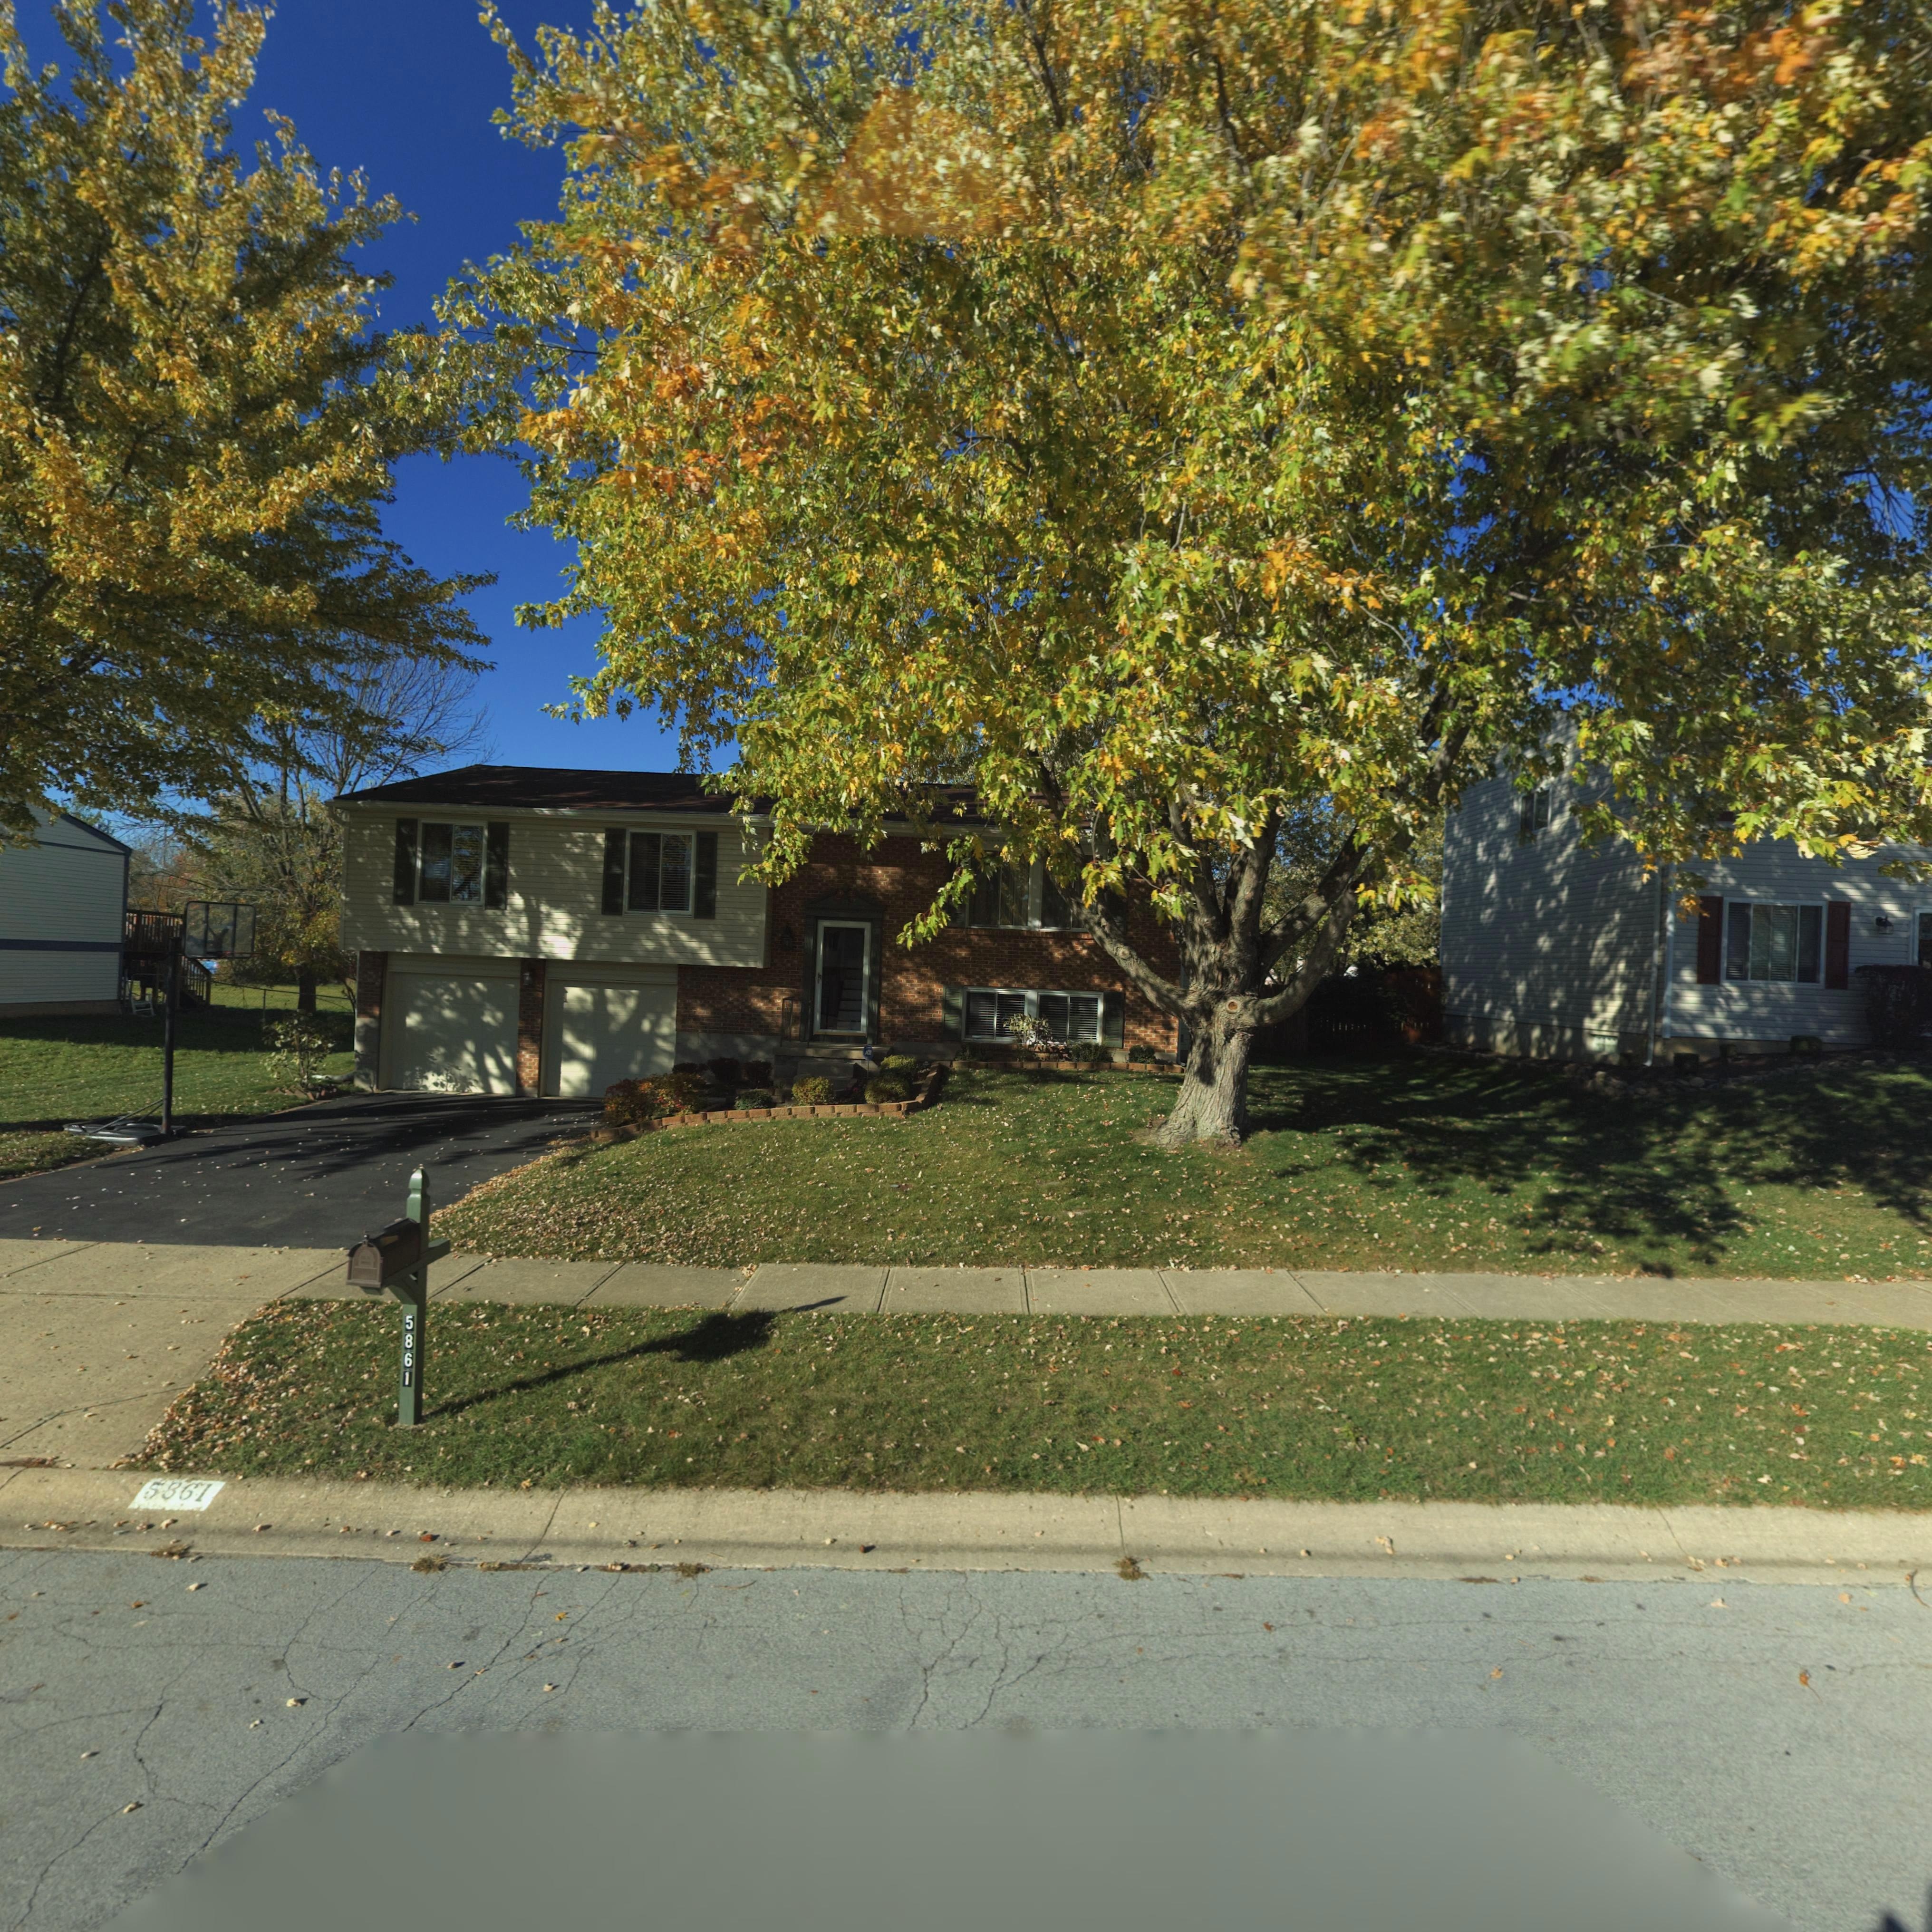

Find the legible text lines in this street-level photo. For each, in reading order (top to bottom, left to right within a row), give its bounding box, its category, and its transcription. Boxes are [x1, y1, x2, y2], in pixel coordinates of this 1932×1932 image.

[403, 1315, 414, 1387] StreetNumber: 5861
[141, 1480, 214, 1503] StreetNumber: 5861